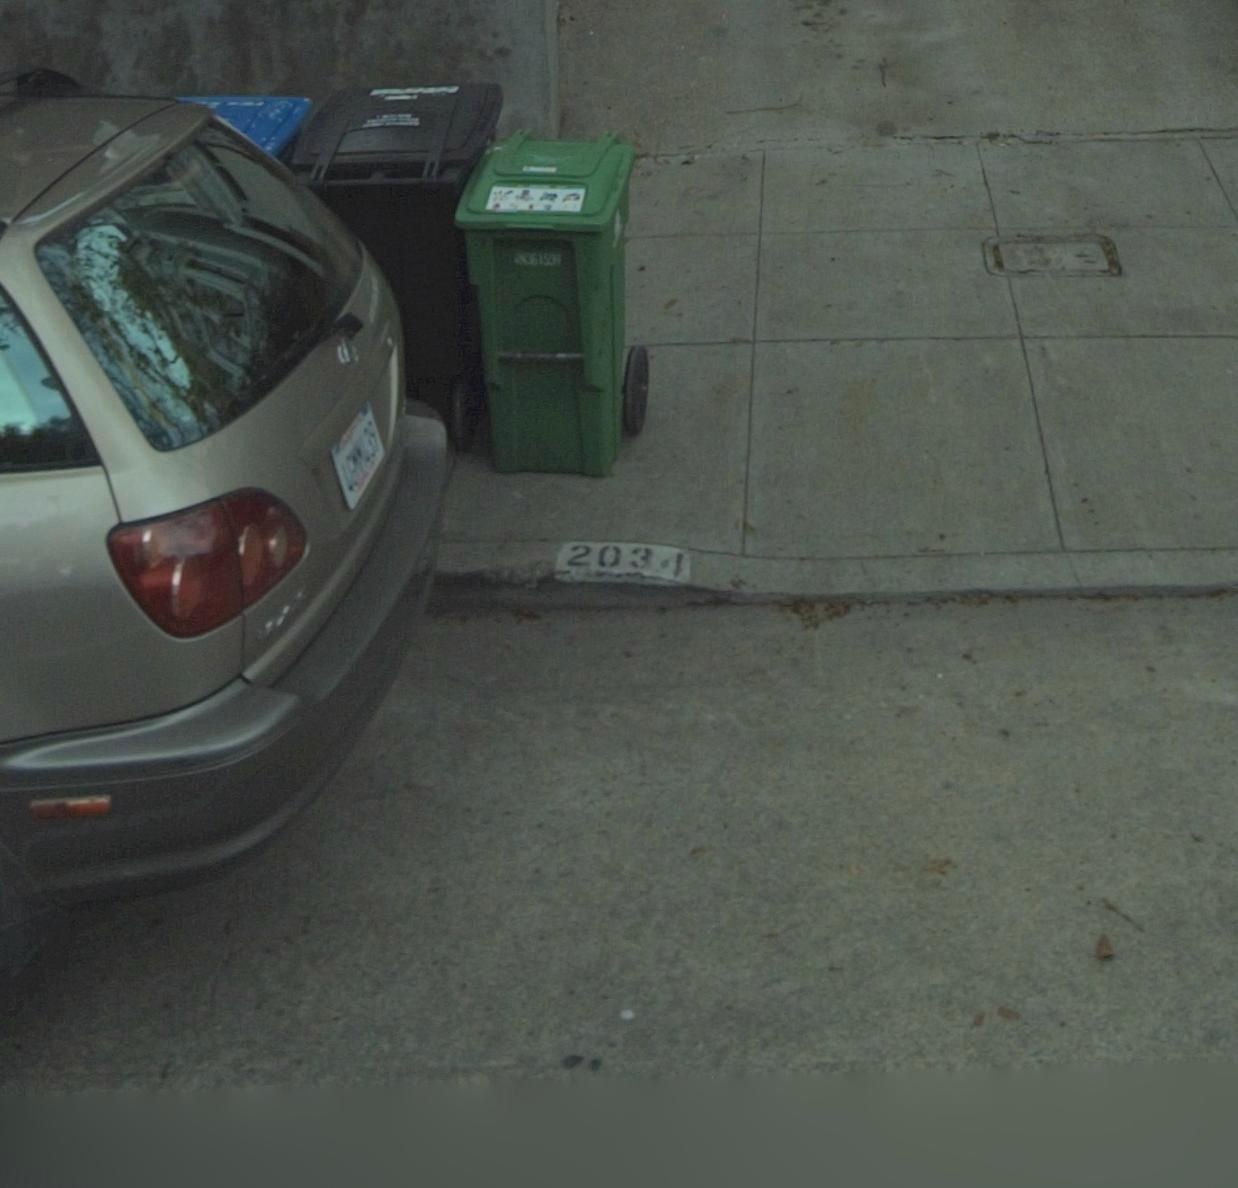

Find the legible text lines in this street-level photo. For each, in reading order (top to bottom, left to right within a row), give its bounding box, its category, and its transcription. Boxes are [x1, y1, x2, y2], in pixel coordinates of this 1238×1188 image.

[564, 541, 687, 581] StreetNumber: 2034